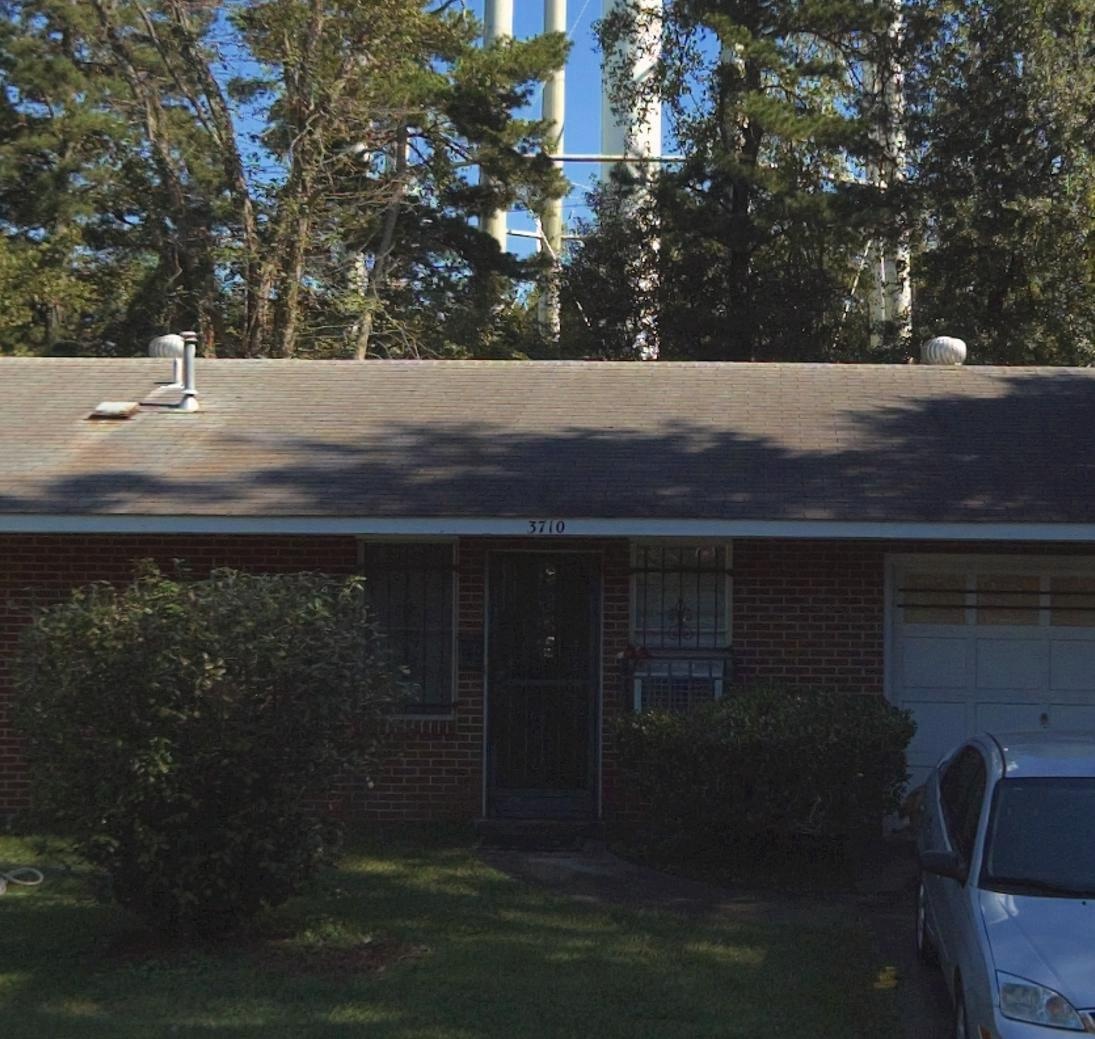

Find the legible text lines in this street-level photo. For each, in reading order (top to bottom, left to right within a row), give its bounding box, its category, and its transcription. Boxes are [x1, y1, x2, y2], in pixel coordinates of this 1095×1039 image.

[526, 519, 567, 534] StreetNumber: 3710